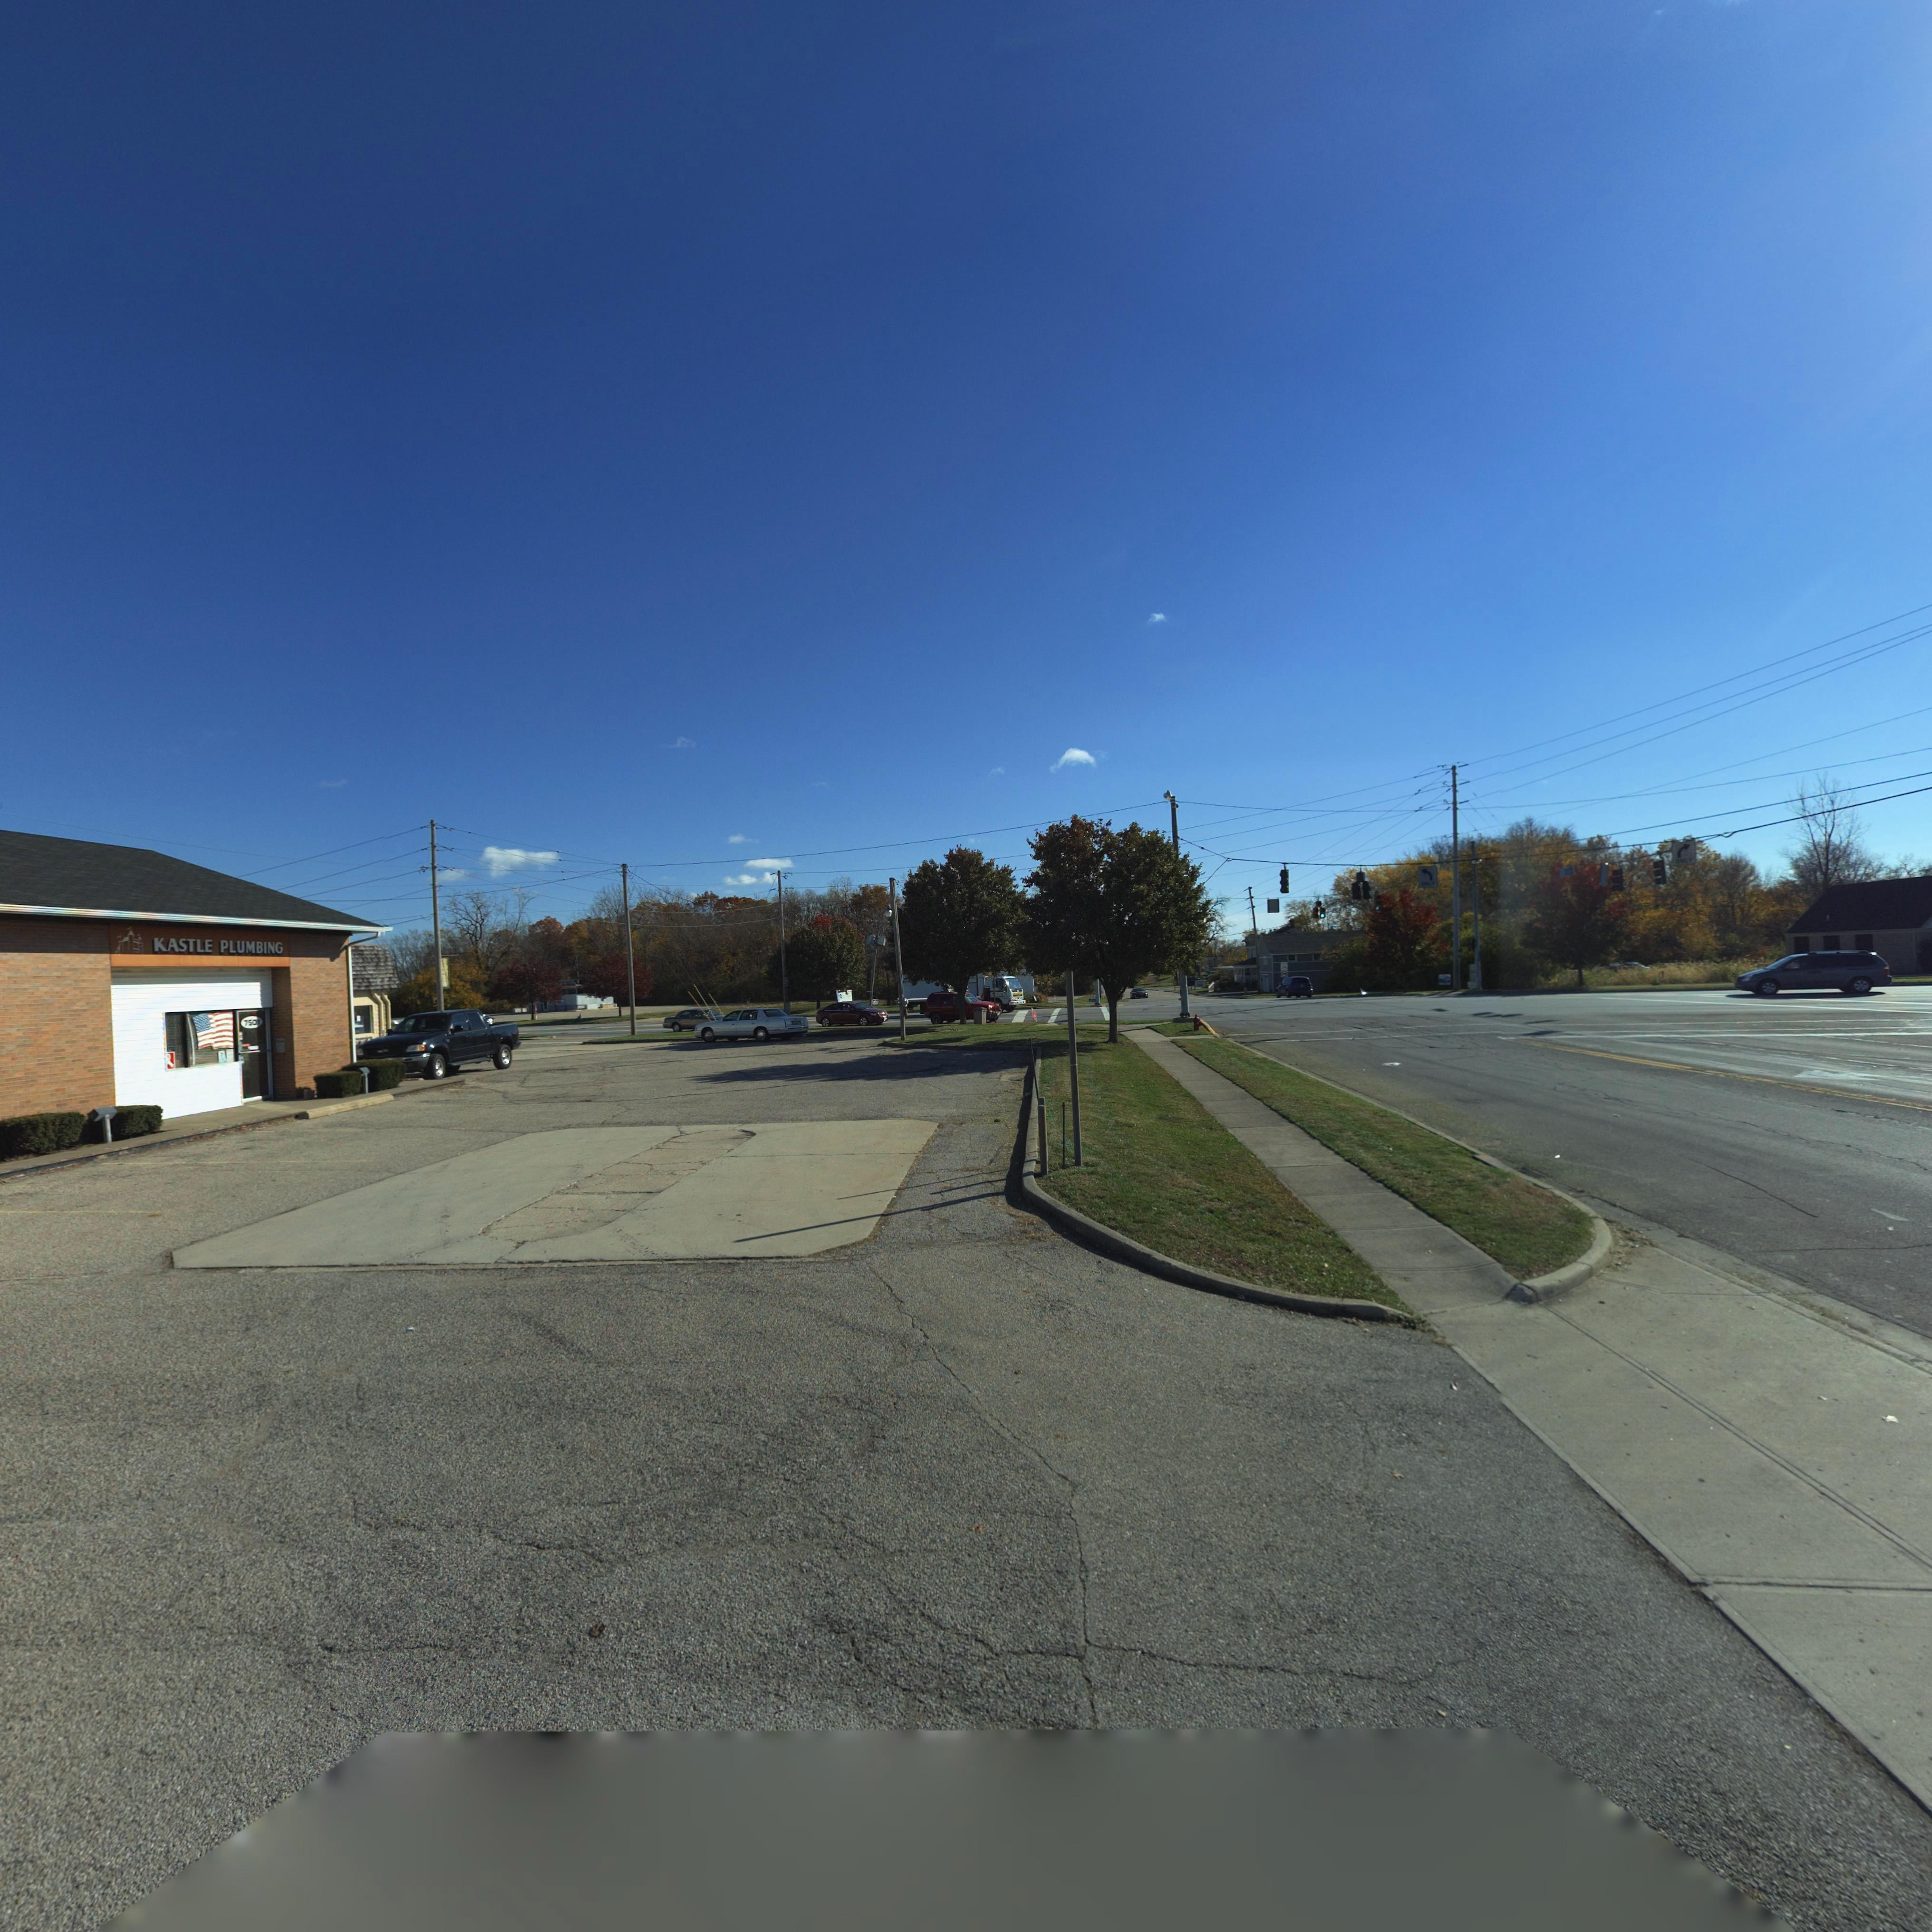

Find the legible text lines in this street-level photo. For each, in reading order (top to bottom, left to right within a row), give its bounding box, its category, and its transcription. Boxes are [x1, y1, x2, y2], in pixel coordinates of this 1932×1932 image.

[152, 937, 284, 955] BusinessName: KASTLE PLUMBING
[243, 1019, 261, 1026] StreetNumber: 7501